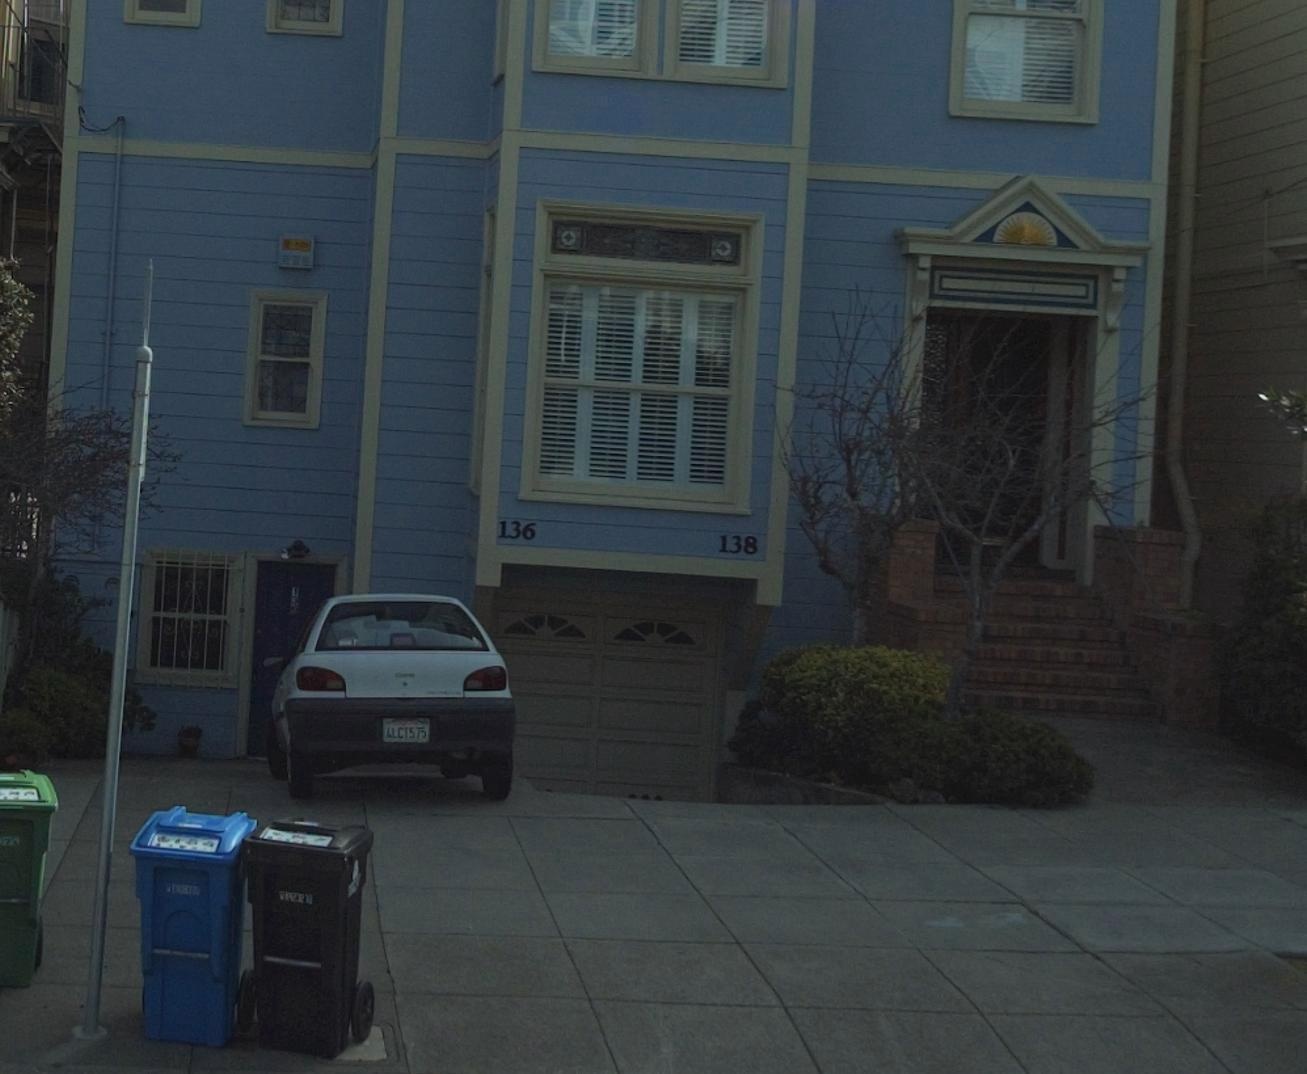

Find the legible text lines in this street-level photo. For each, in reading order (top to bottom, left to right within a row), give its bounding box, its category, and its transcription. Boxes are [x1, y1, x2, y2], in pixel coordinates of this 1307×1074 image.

[497, 519, 538, 541] StreetNumber: 136
[717, 534, 760, 555] StreetNumber: 138
[384, 726, 428, 739] None: 4LCT575